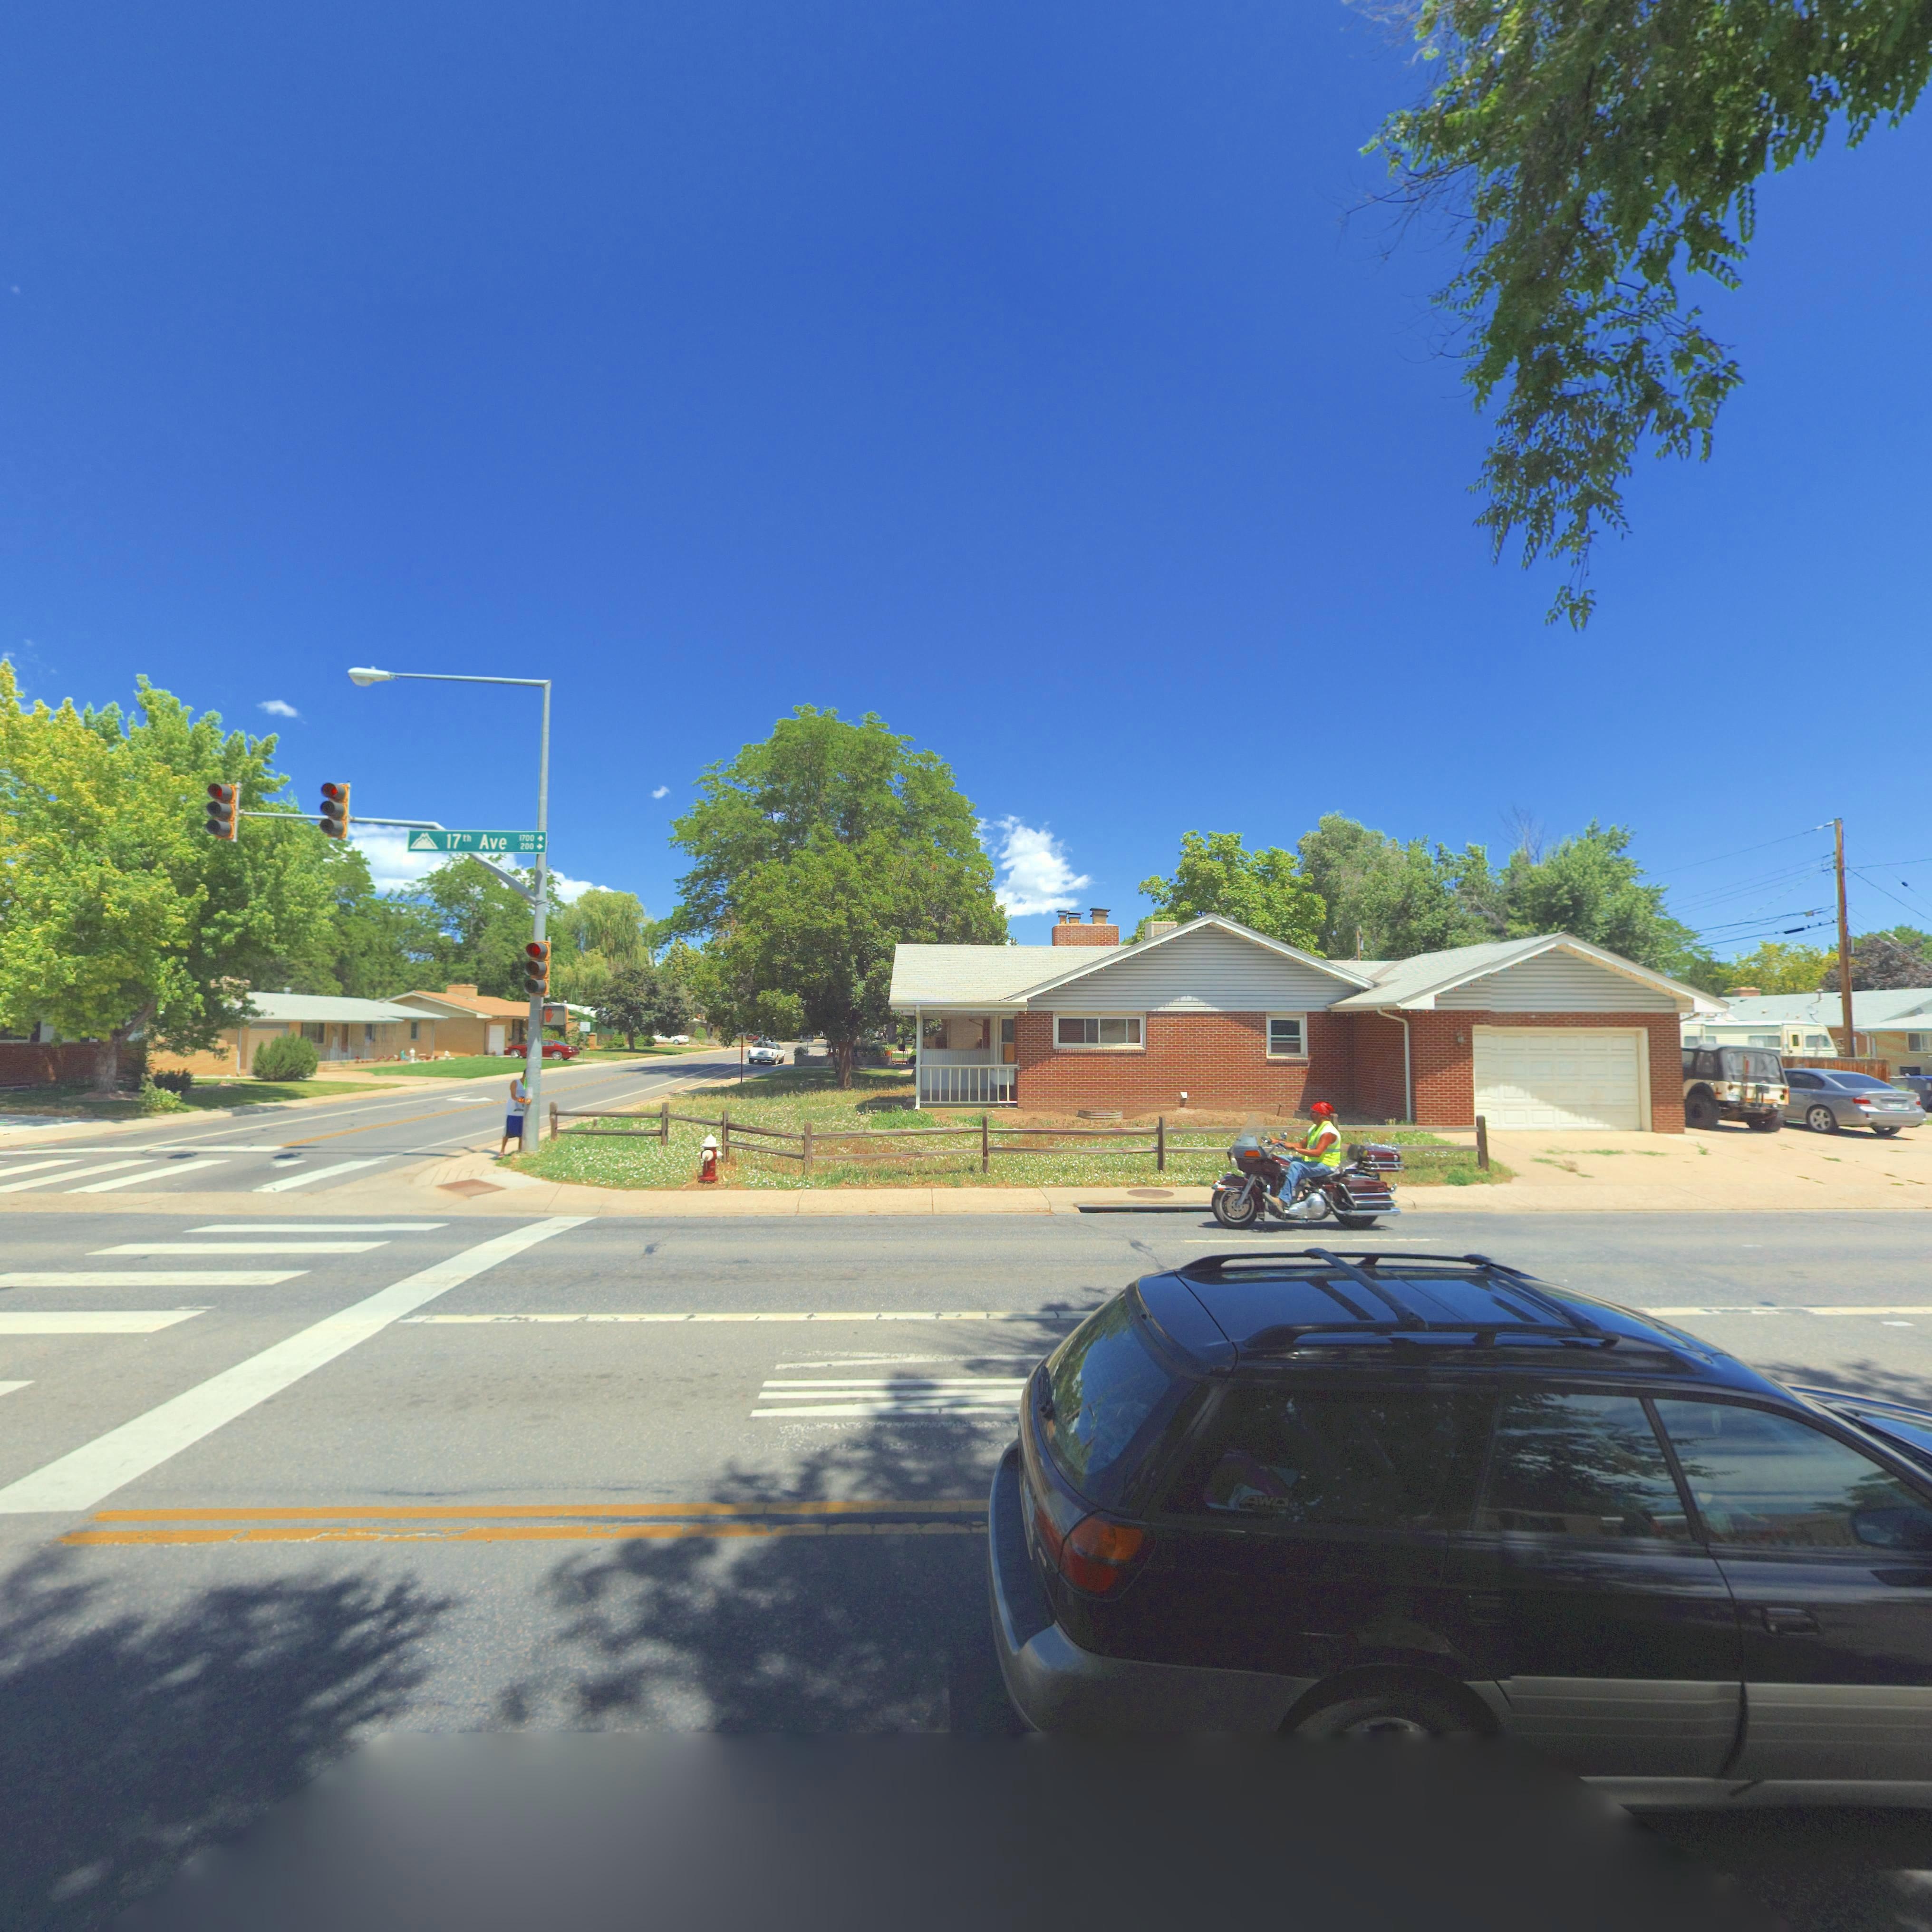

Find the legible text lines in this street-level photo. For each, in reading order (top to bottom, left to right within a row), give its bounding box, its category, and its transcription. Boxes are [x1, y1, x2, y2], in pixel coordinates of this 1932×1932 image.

[519, 834, 535, 841] StreetNumberRange: 1700
[446, 833, 507, 850] StreetName: 17th Ave
[520, 842, 544, 850] StreetNumberRange: 200->